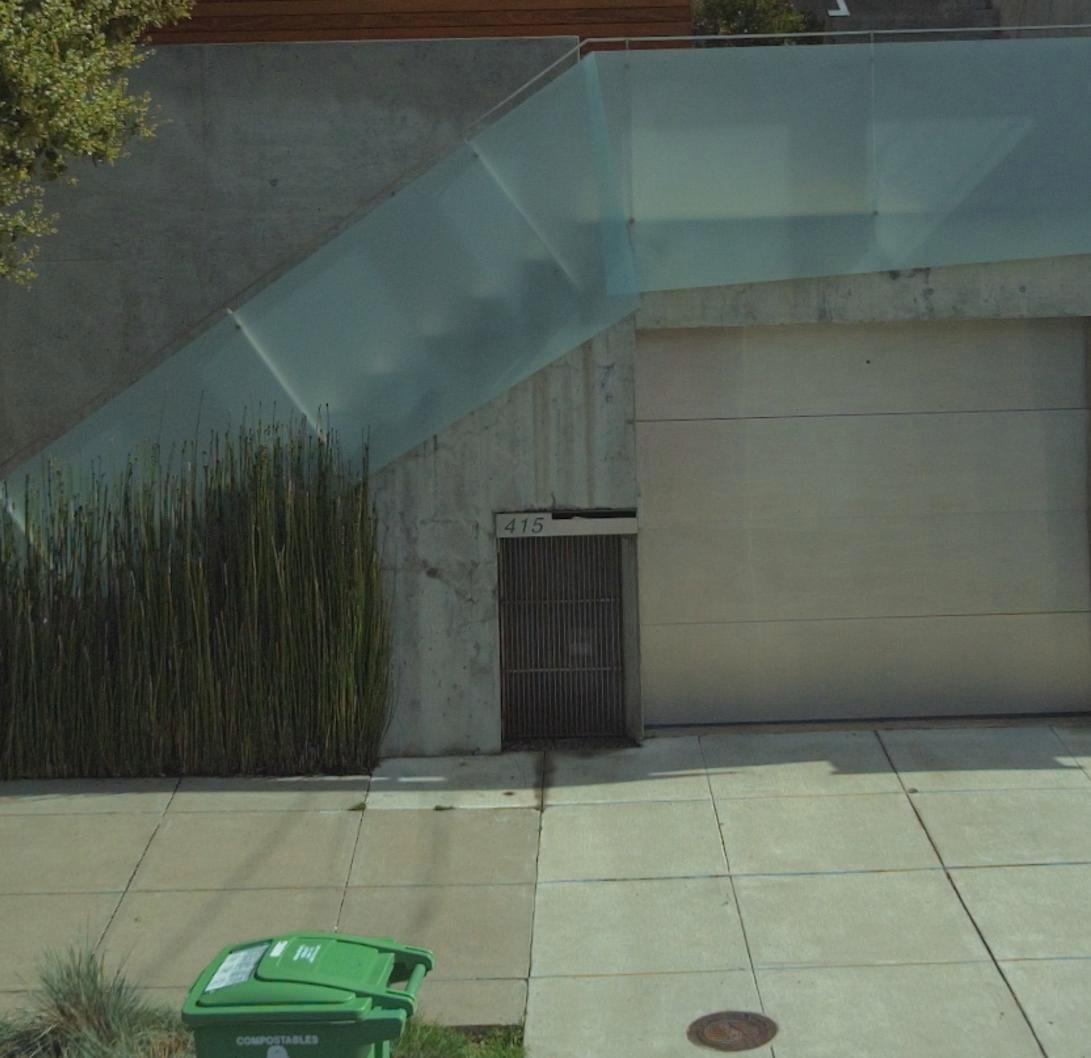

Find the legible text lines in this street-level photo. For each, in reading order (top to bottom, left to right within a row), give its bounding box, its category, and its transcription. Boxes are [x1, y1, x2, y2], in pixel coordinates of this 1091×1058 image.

[503, 515, 547, 535] StreetNumber: 415
[233, 1033, 321, 1047] None: COMPOSTABLES